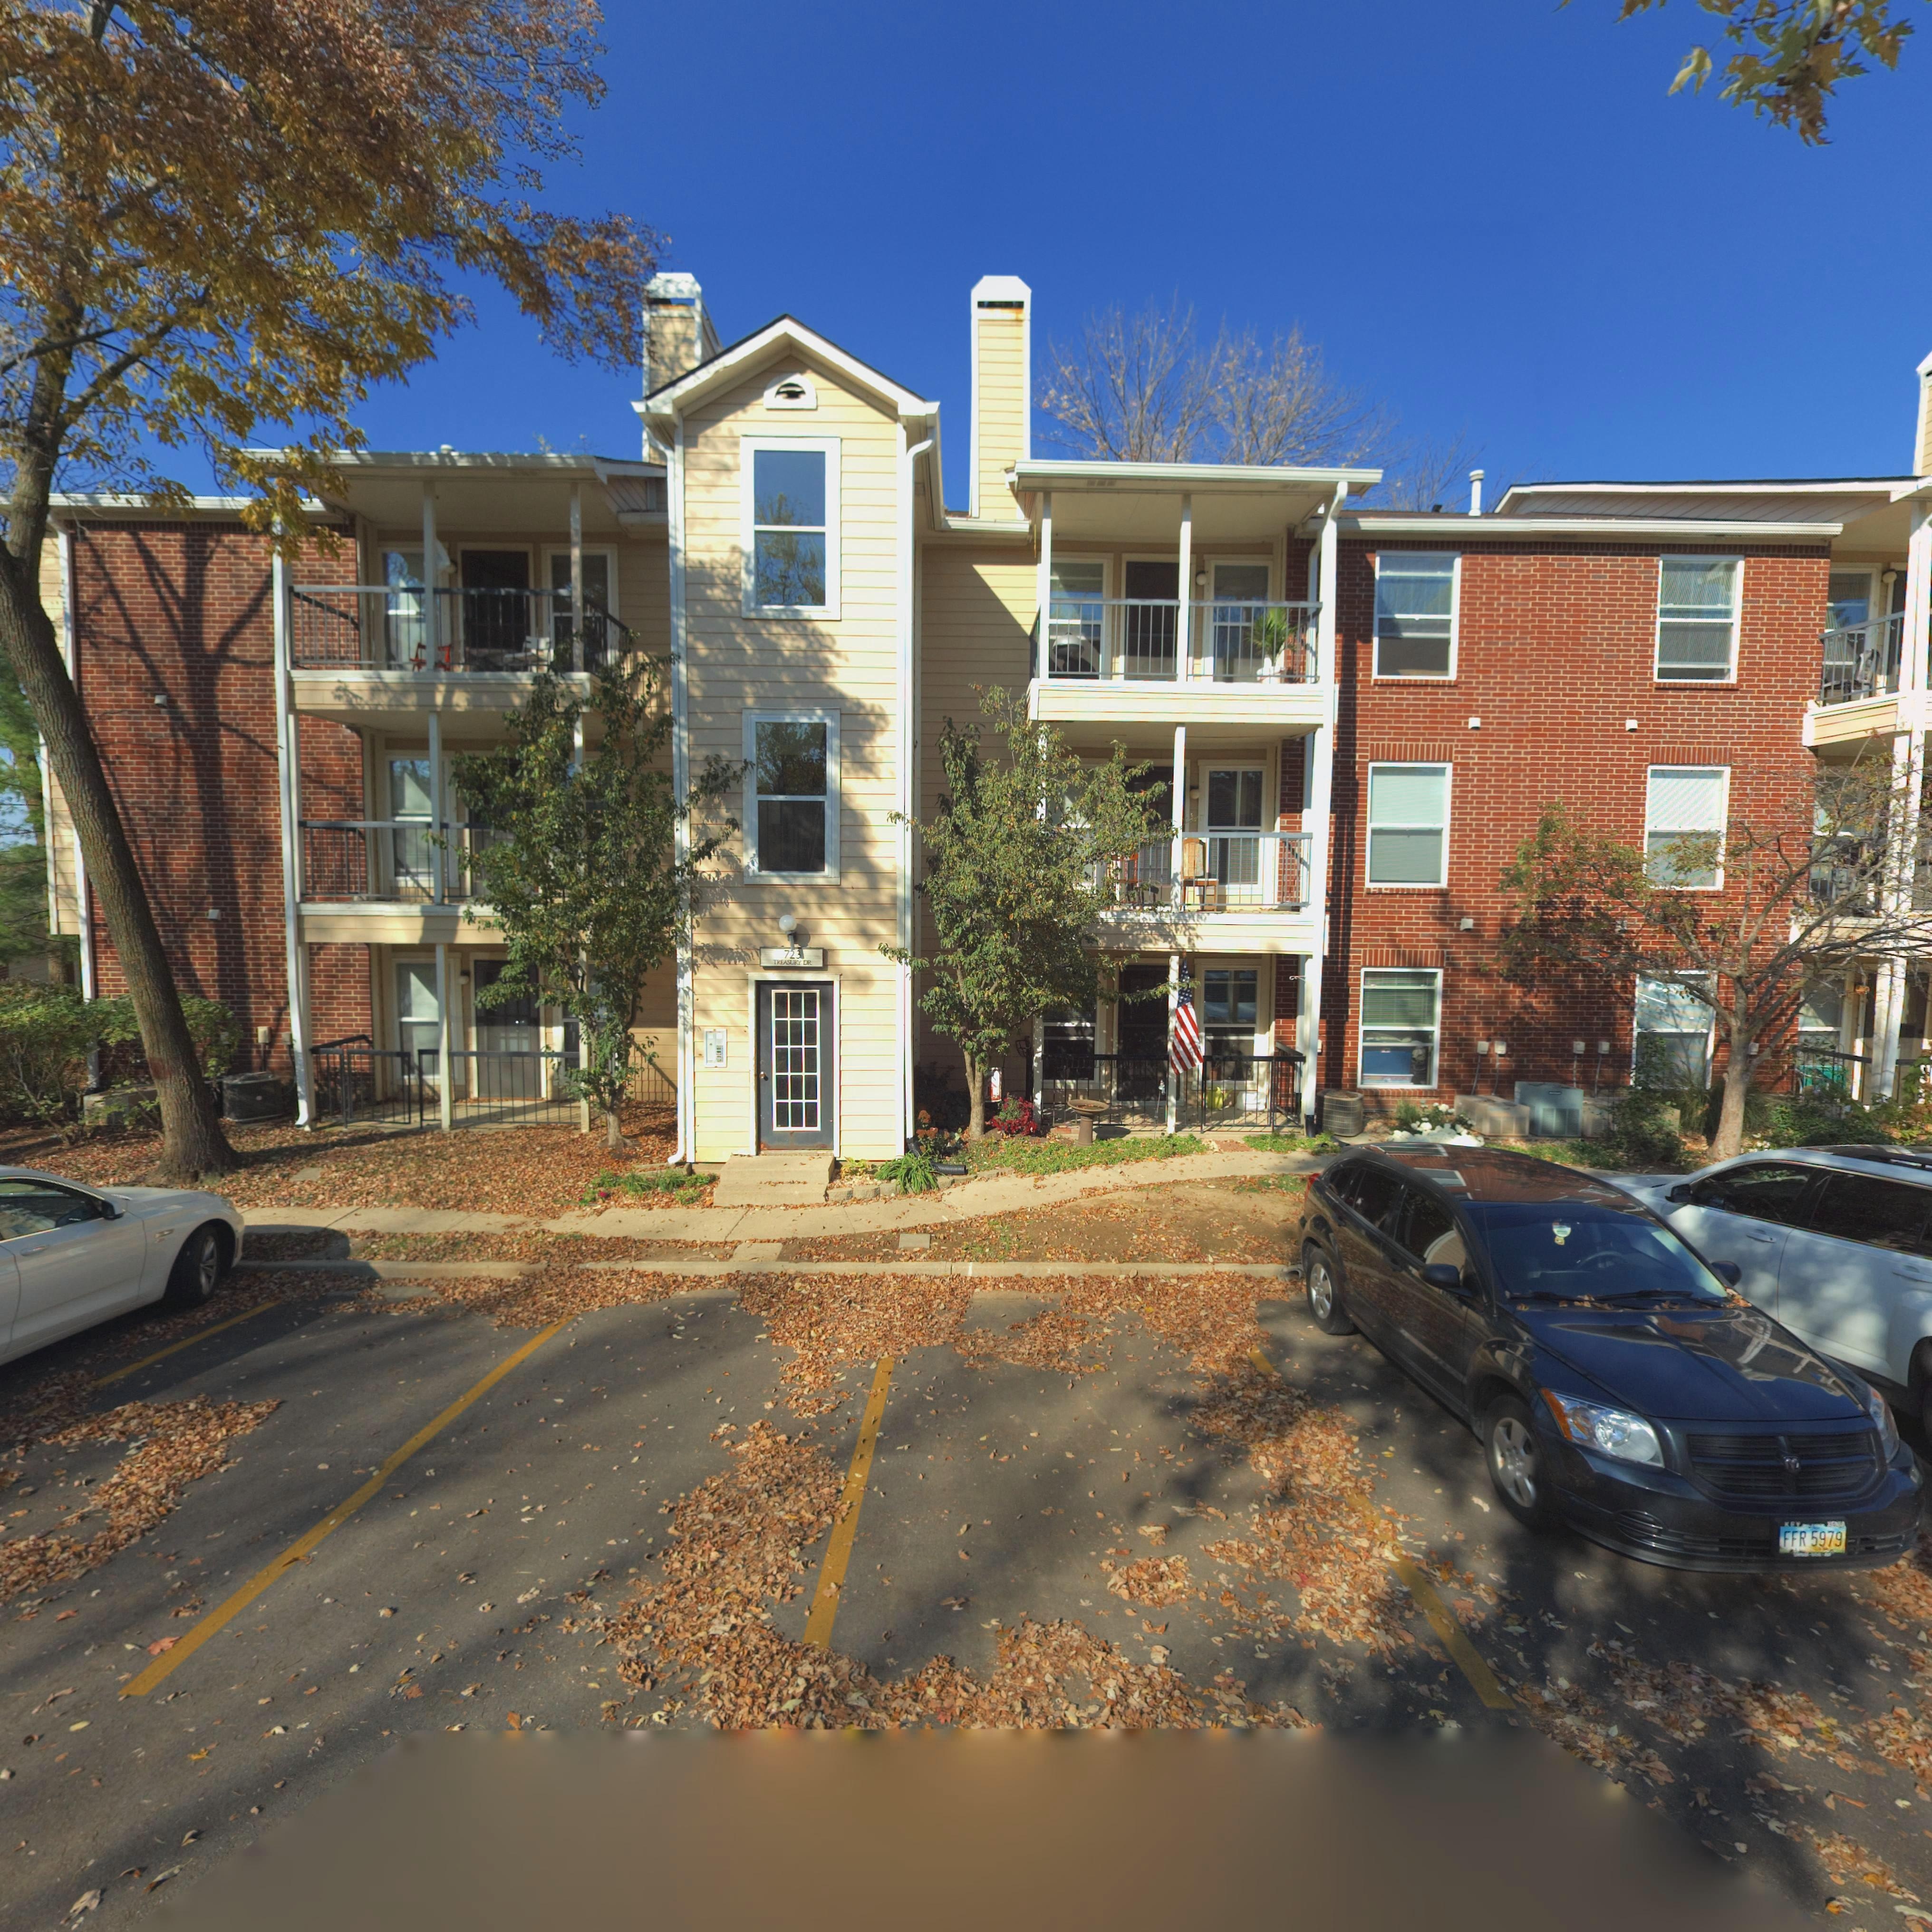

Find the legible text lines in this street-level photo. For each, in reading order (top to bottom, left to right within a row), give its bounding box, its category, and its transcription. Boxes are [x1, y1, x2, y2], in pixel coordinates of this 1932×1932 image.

[783, 949, 802, 959] StreetNumber: 723
[772, 959, 813, 966] StreetName: TREASURY SR
[1781, 1529, 1844, 1549] None: FFR 5979